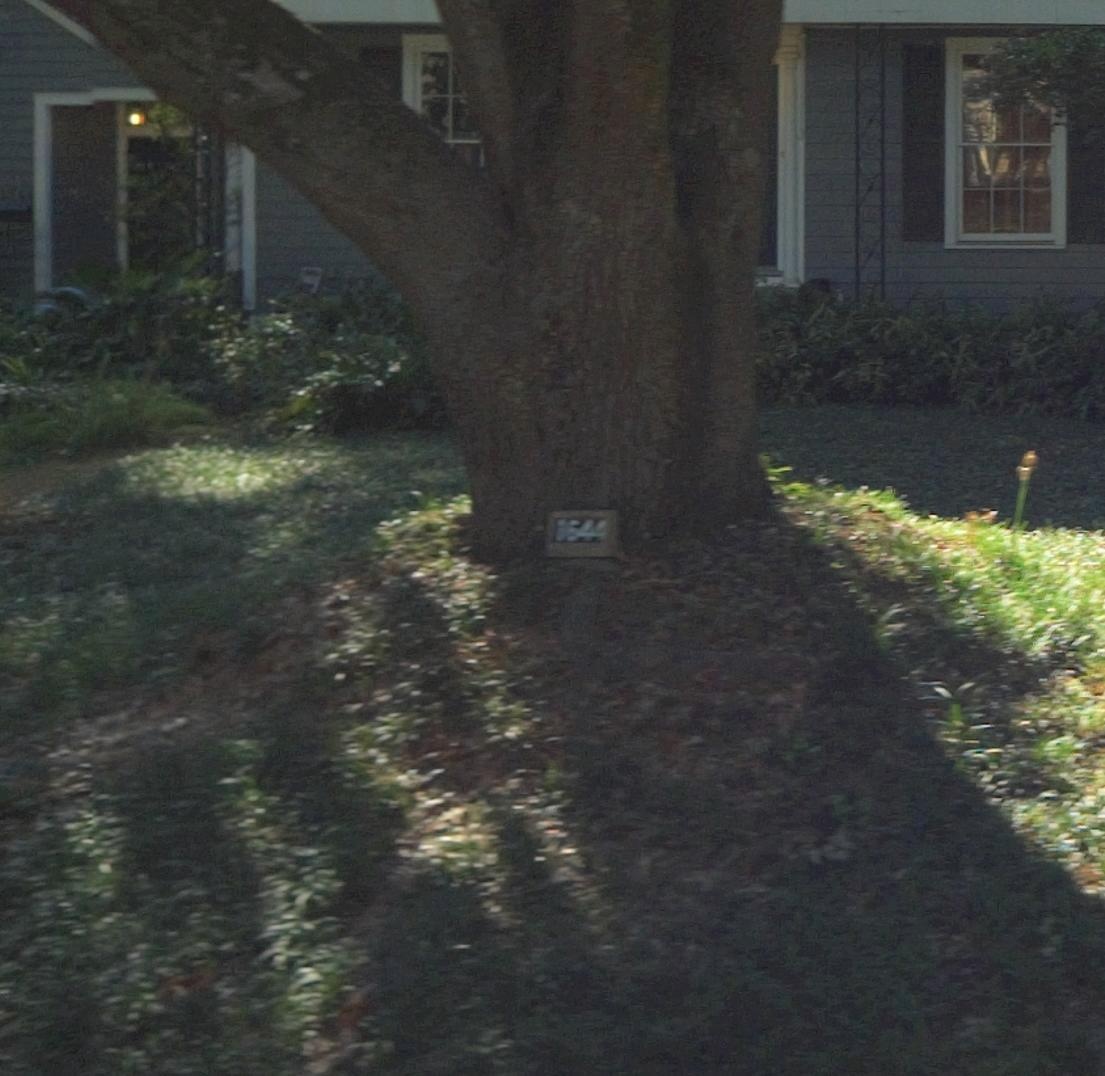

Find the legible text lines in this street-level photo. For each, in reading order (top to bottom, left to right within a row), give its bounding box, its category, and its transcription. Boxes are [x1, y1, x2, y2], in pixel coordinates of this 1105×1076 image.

[552, 515, 611, 545] StreetNumber: 1644